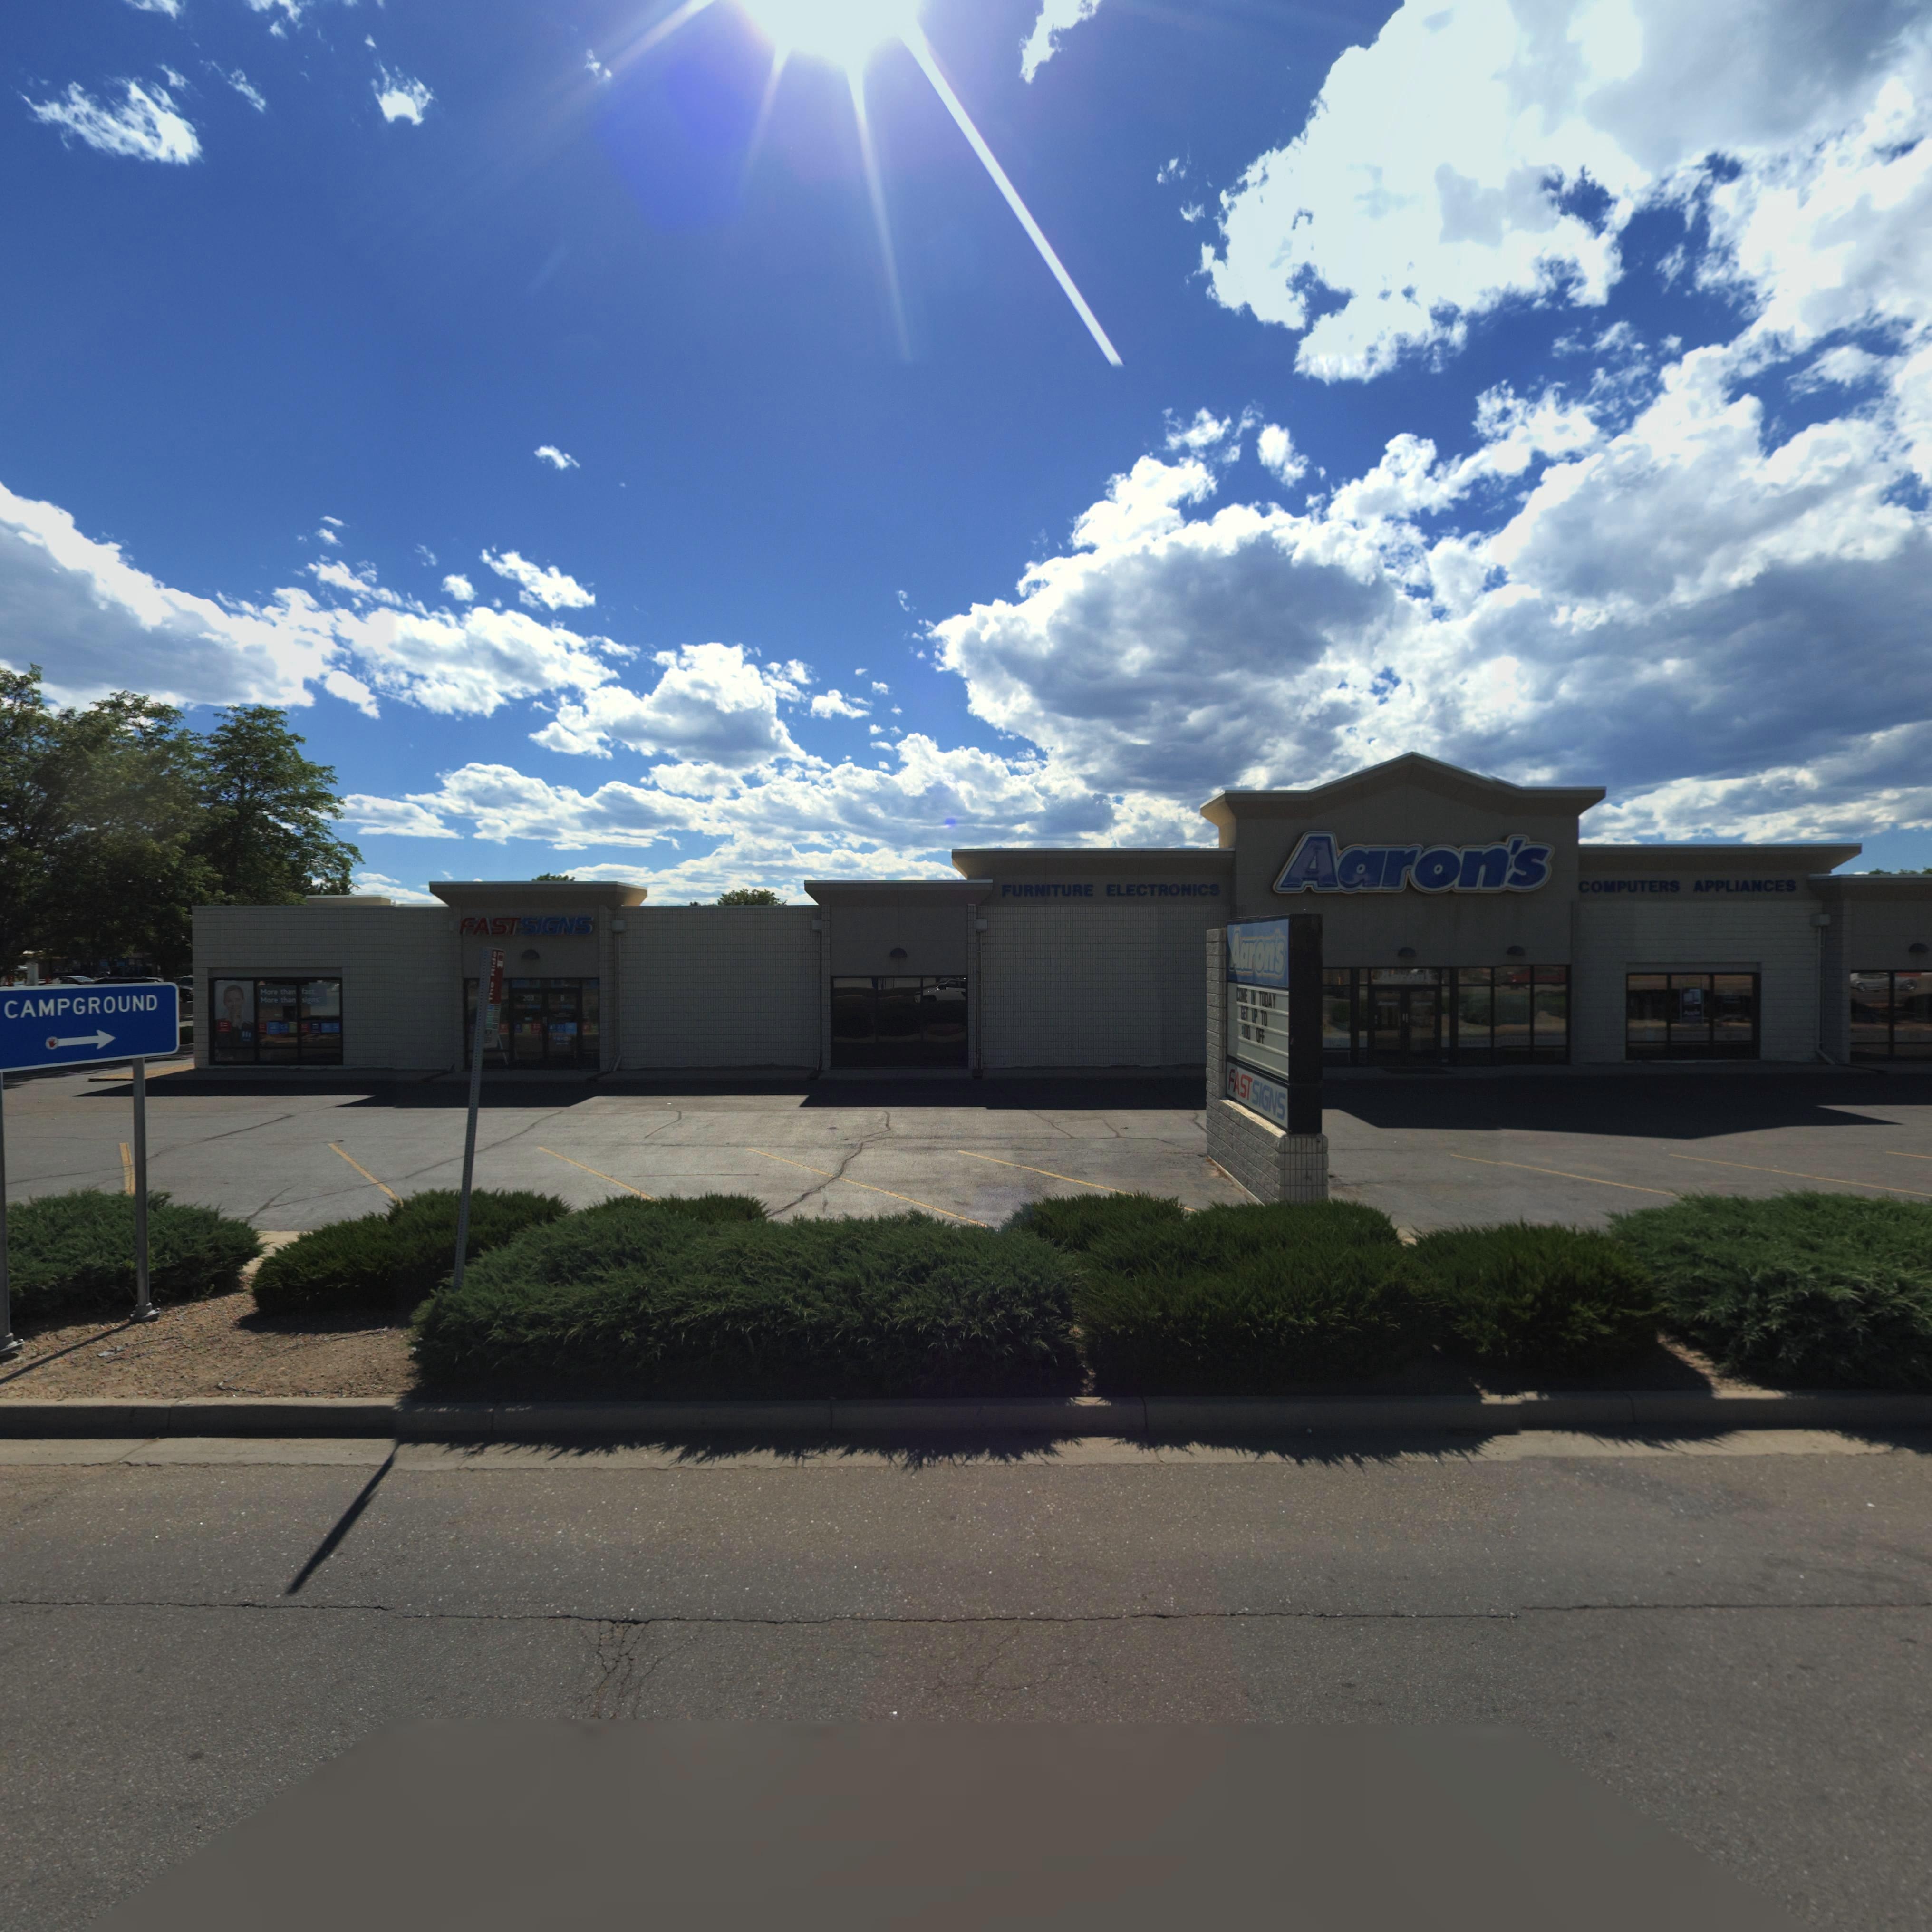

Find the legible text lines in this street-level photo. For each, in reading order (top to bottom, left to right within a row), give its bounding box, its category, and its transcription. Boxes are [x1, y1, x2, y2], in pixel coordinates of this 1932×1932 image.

[1277, 834, 1550, 889] BusinessName: Aaron's
[457, 915, 593, 935] BusinessName: FASTSIGNS
[1229, 929, 1286, 976] BusinessName: Aaron's
[1376, 970, 1433, 983] BusinessName: Aaron's
[522, 994, 535, 1001] StreetNumber: 203
[560, 994, 565, 1001] StreetNumber: B
[1227, 1067, 1286, 1121] BusinessName: FASTSIGNS